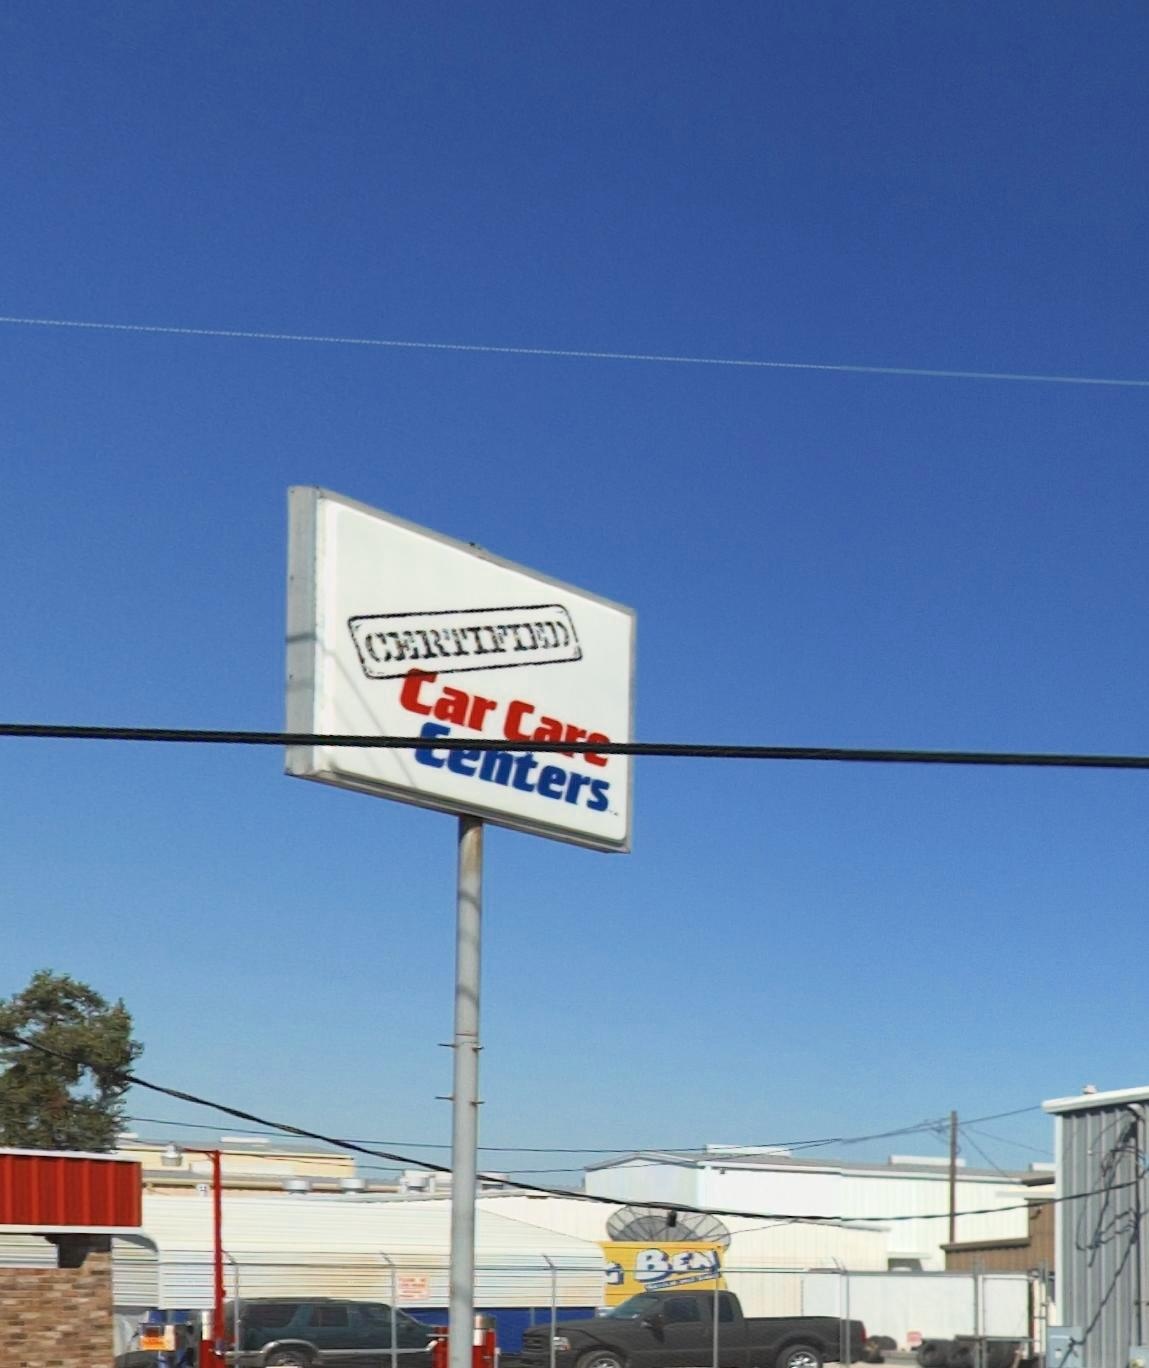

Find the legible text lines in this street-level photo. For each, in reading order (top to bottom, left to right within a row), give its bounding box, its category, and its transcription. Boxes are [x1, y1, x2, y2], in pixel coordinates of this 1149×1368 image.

[360, 616, 575, 667] None: CERTIFIED
[394, 665, 500, 736] BusinessName: Car
[508, 747, 614, 817] BusinessName: ters
[632, 1246, 721, 1282] BusinessName: BE*